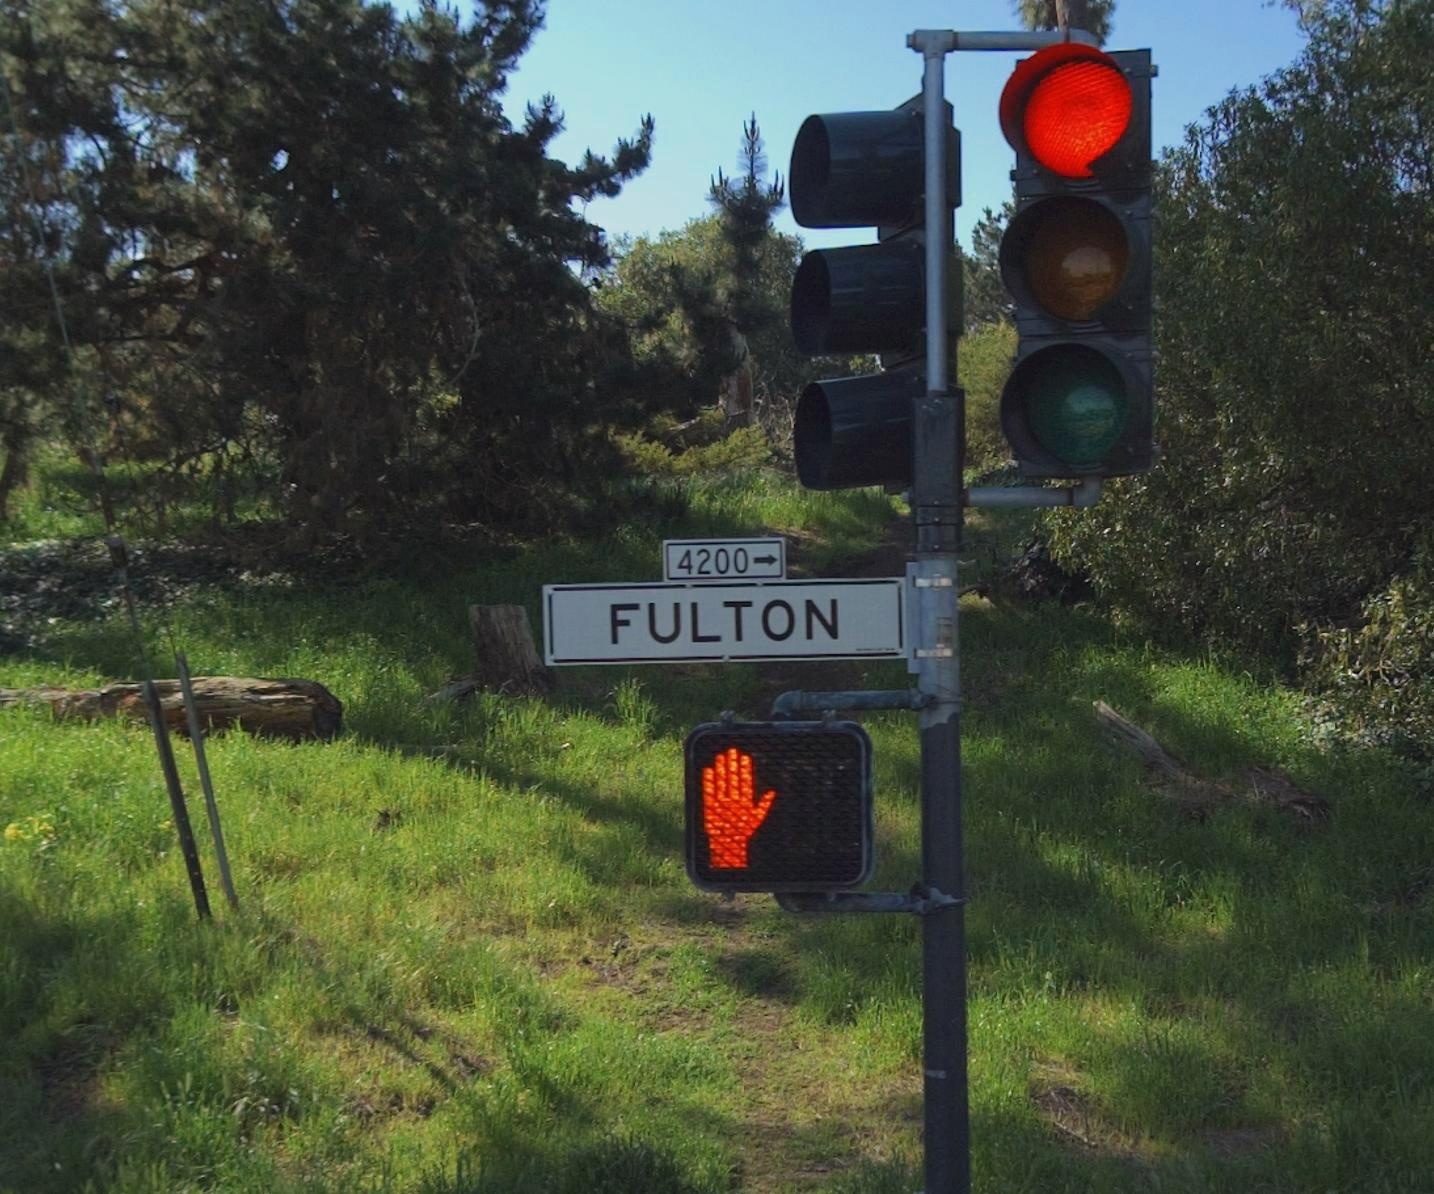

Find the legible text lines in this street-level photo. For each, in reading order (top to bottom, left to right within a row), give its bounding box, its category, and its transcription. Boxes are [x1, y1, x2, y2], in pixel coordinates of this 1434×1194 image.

[667, 544, 779, 579] StreetNumberRange: 4200->
[608, 596, 841, 648] StreetName: FULTON
[775, 759, 864, 865] None: 88